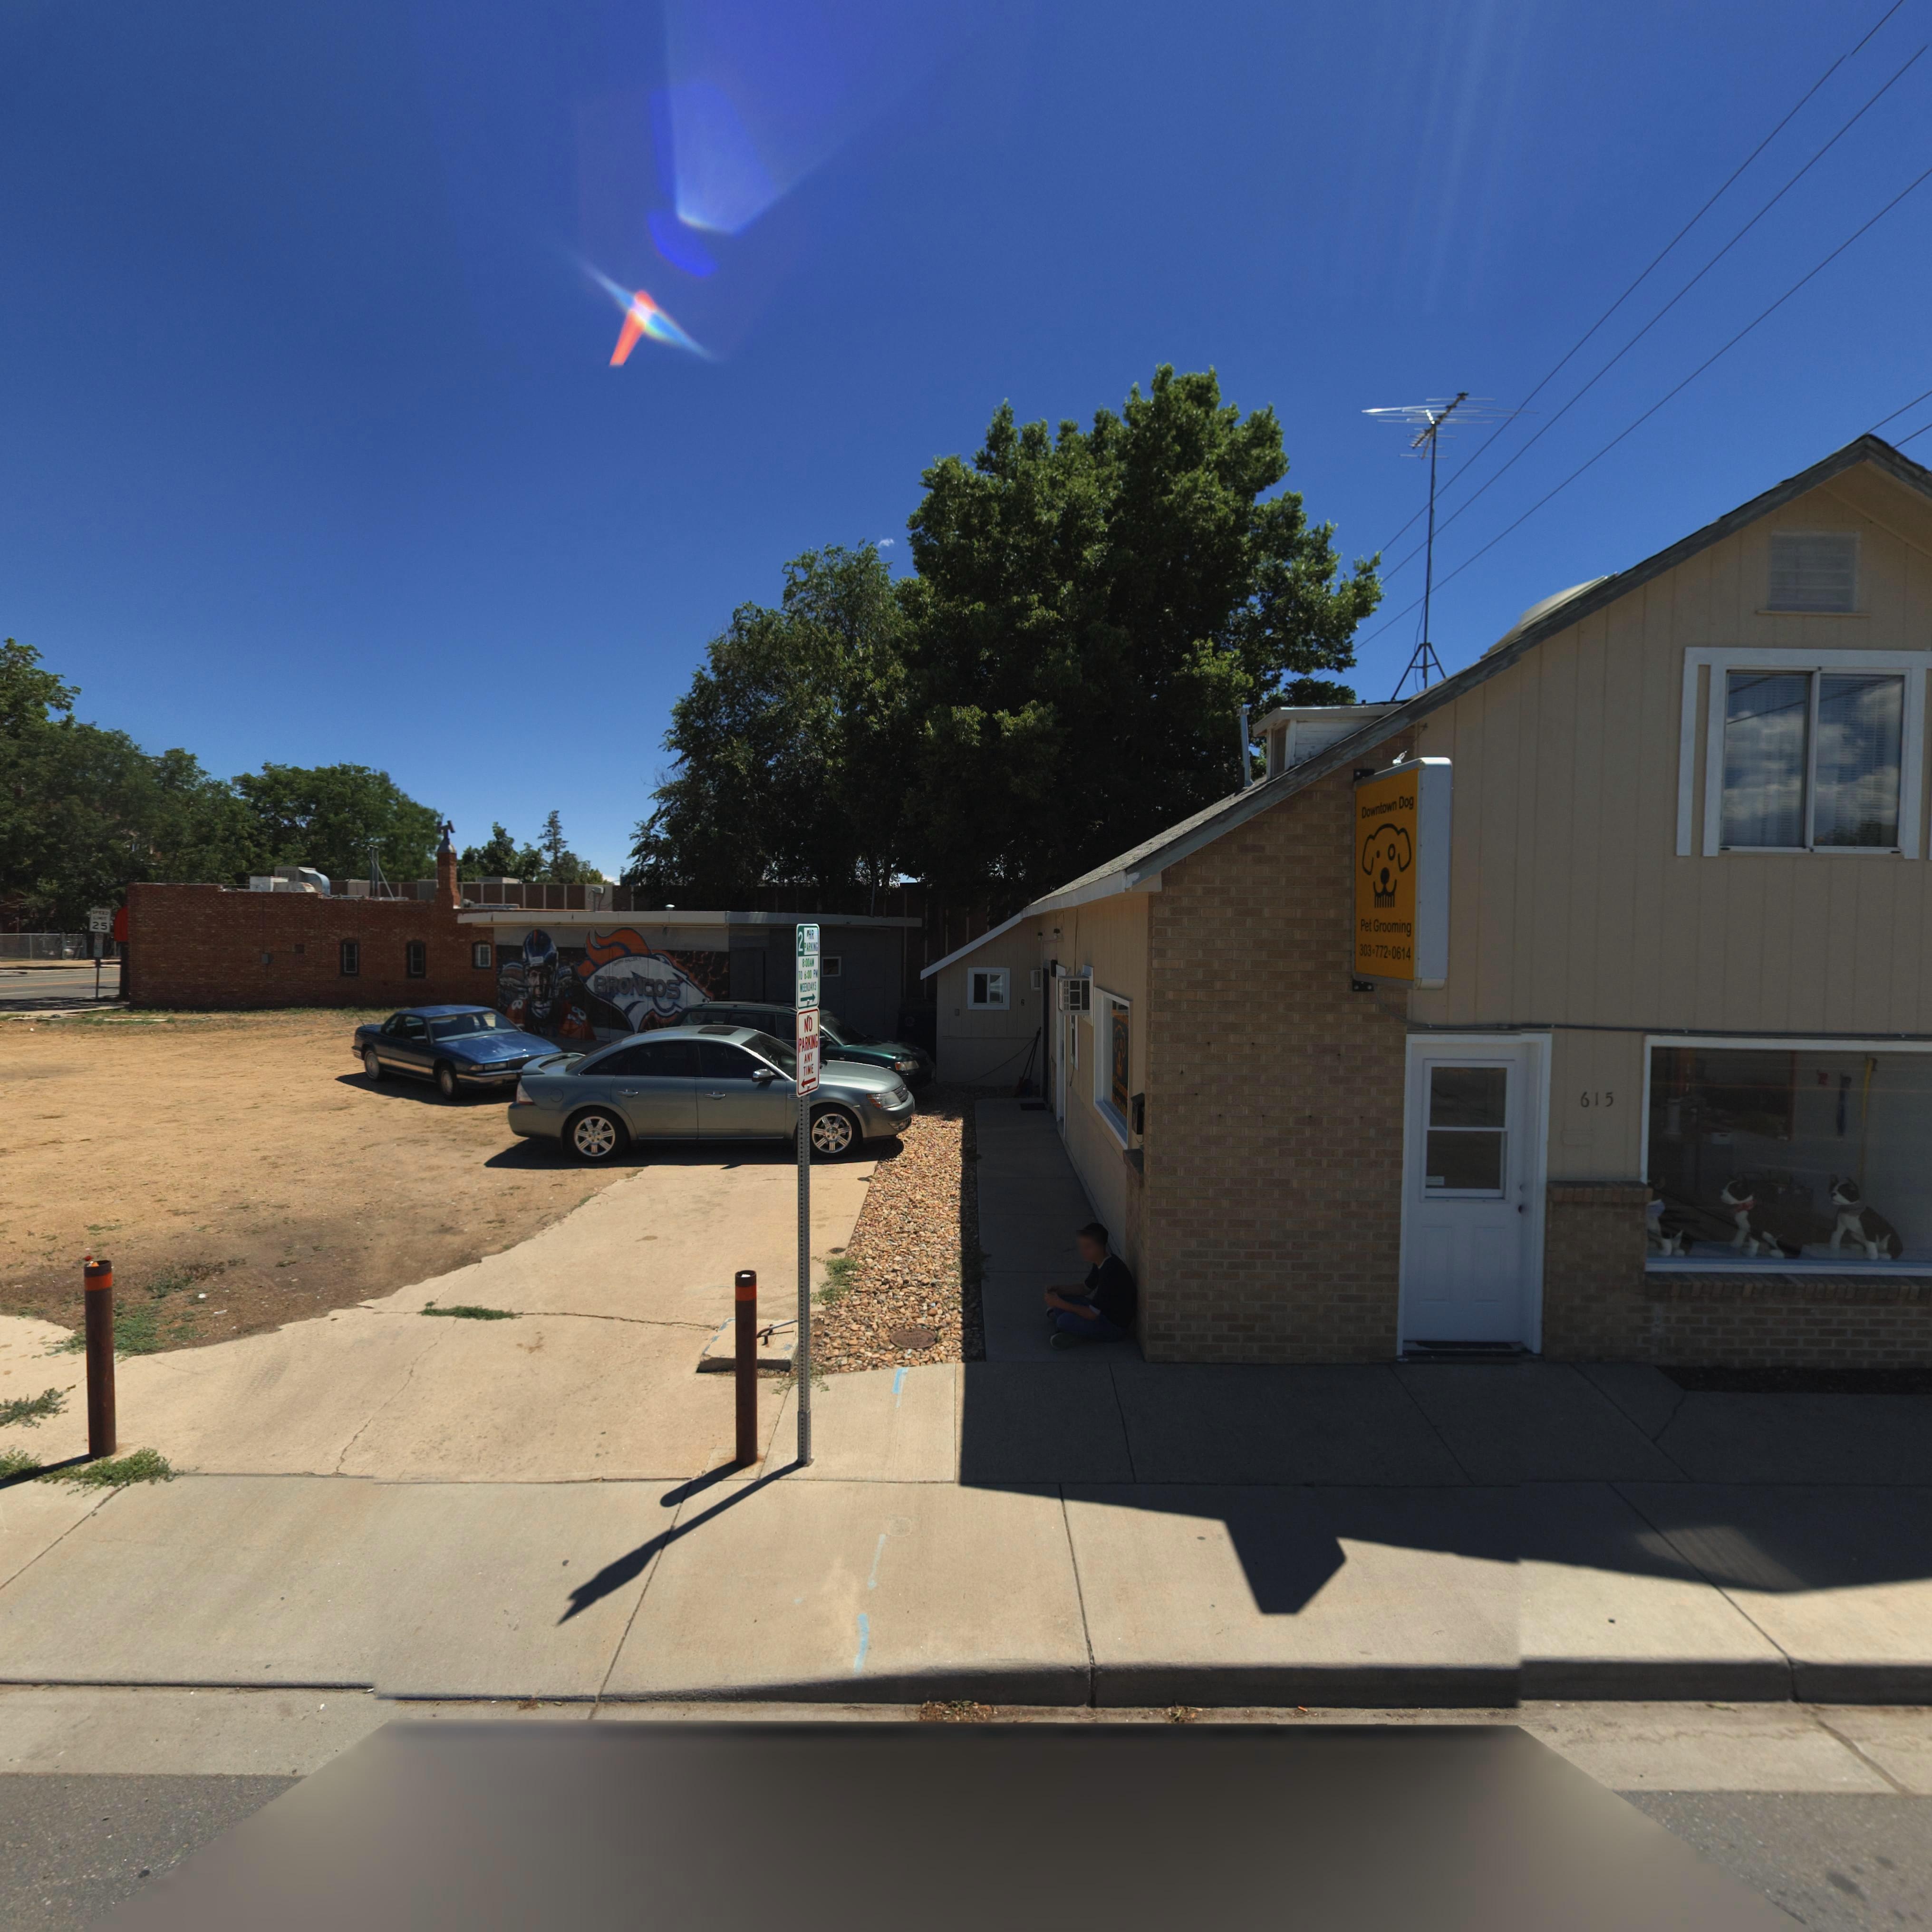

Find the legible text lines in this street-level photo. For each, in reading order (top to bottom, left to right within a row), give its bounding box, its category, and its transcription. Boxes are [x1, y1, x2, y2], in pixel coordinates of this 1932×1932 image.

[1361, 795, 1414, 819] BusinessName: Downtown Dog
[1360, 918, 1411, 937] BusinessName: Pet Grooming
[1123, 1011, 1129, 1029] BusinessName: Dog
[1110, 1072, 1129, 1103] BusinessName: *et Grooming
[1579, 1090, 1614, 1108] StreetNumber: 615